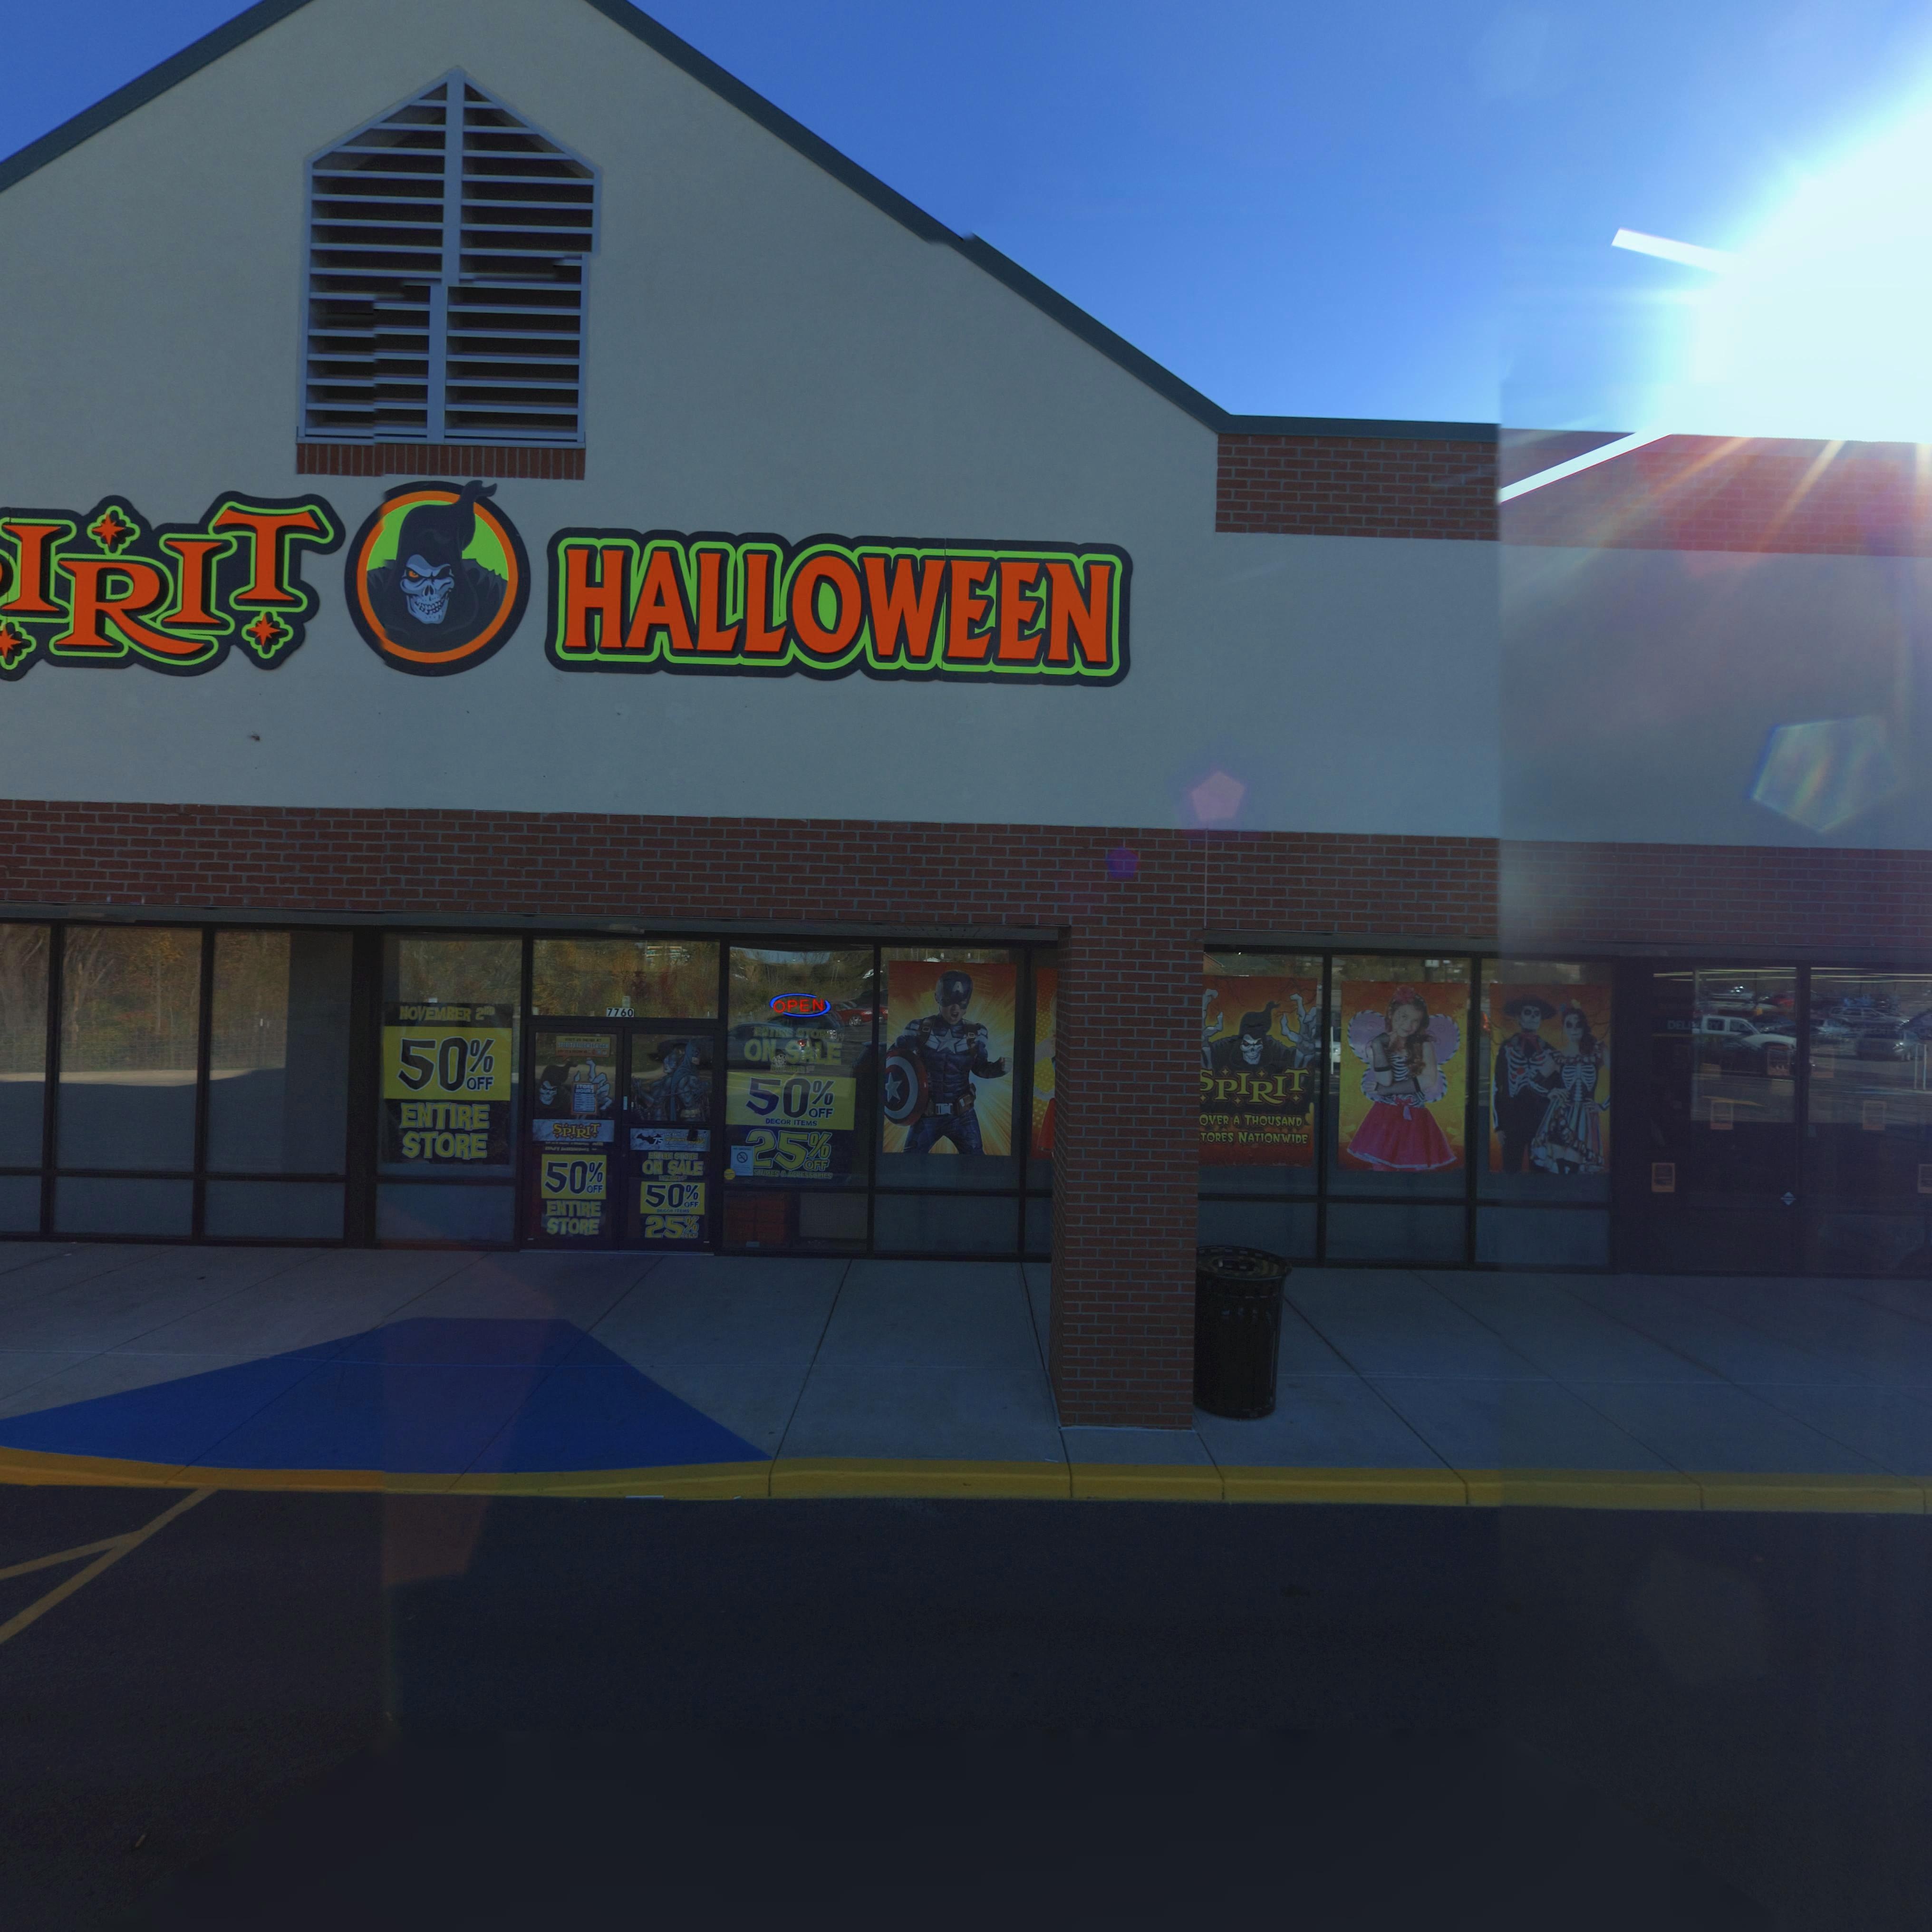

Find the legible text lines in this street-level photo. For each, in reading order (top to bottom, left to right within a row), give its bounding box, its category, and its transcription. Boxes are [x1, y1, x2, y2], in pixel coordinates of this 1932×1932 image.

[607, 1007, 634, 1017] StreetNumber: 7760